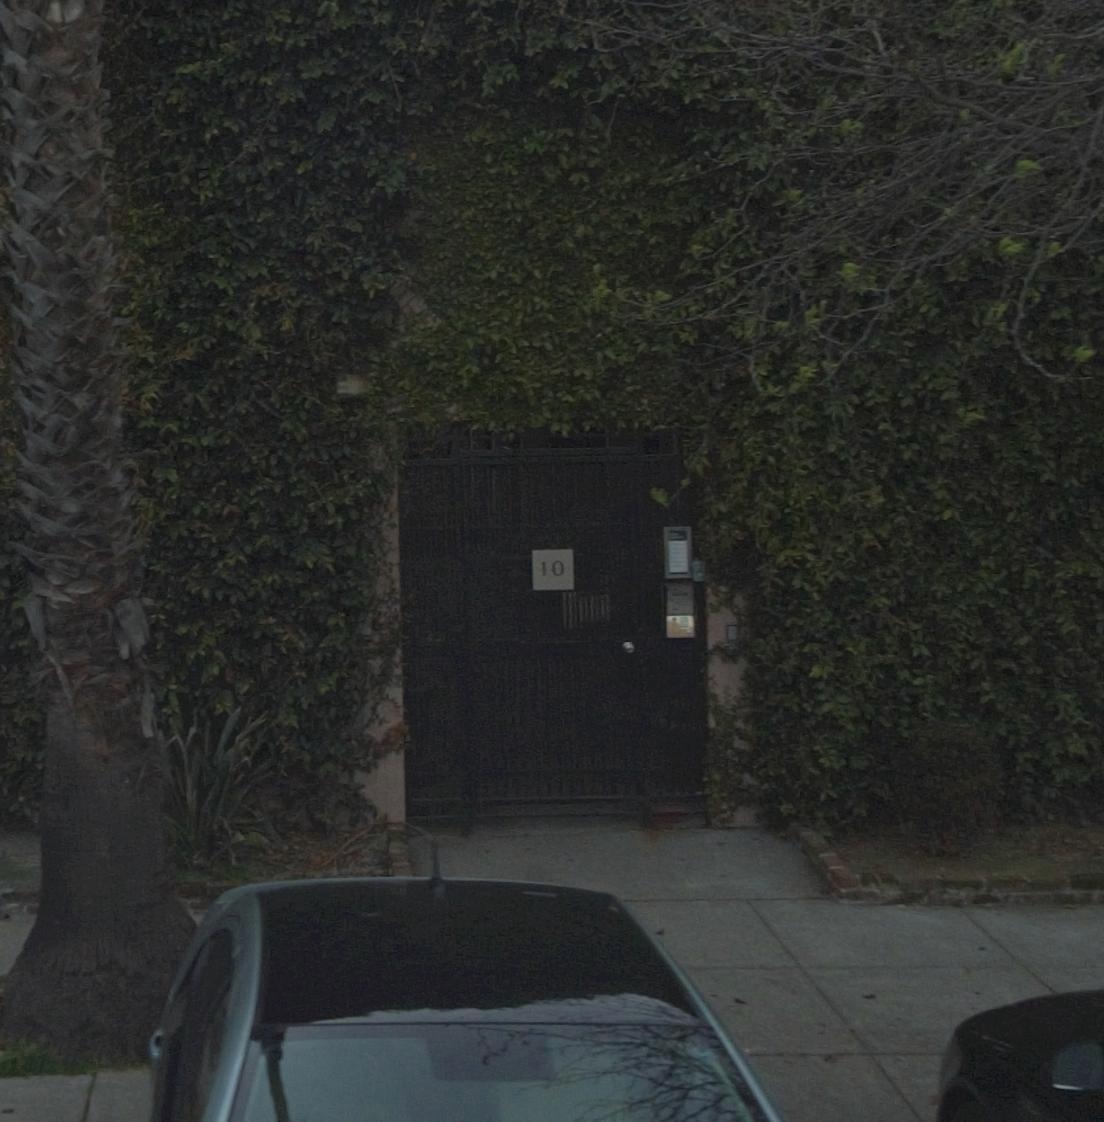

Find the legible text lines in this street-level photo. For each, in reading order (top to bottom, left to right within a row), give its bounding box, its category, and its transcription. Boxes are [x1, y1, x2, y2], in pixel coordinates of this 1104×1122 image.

[539, 559, 565, 578] StreetNumber: 10